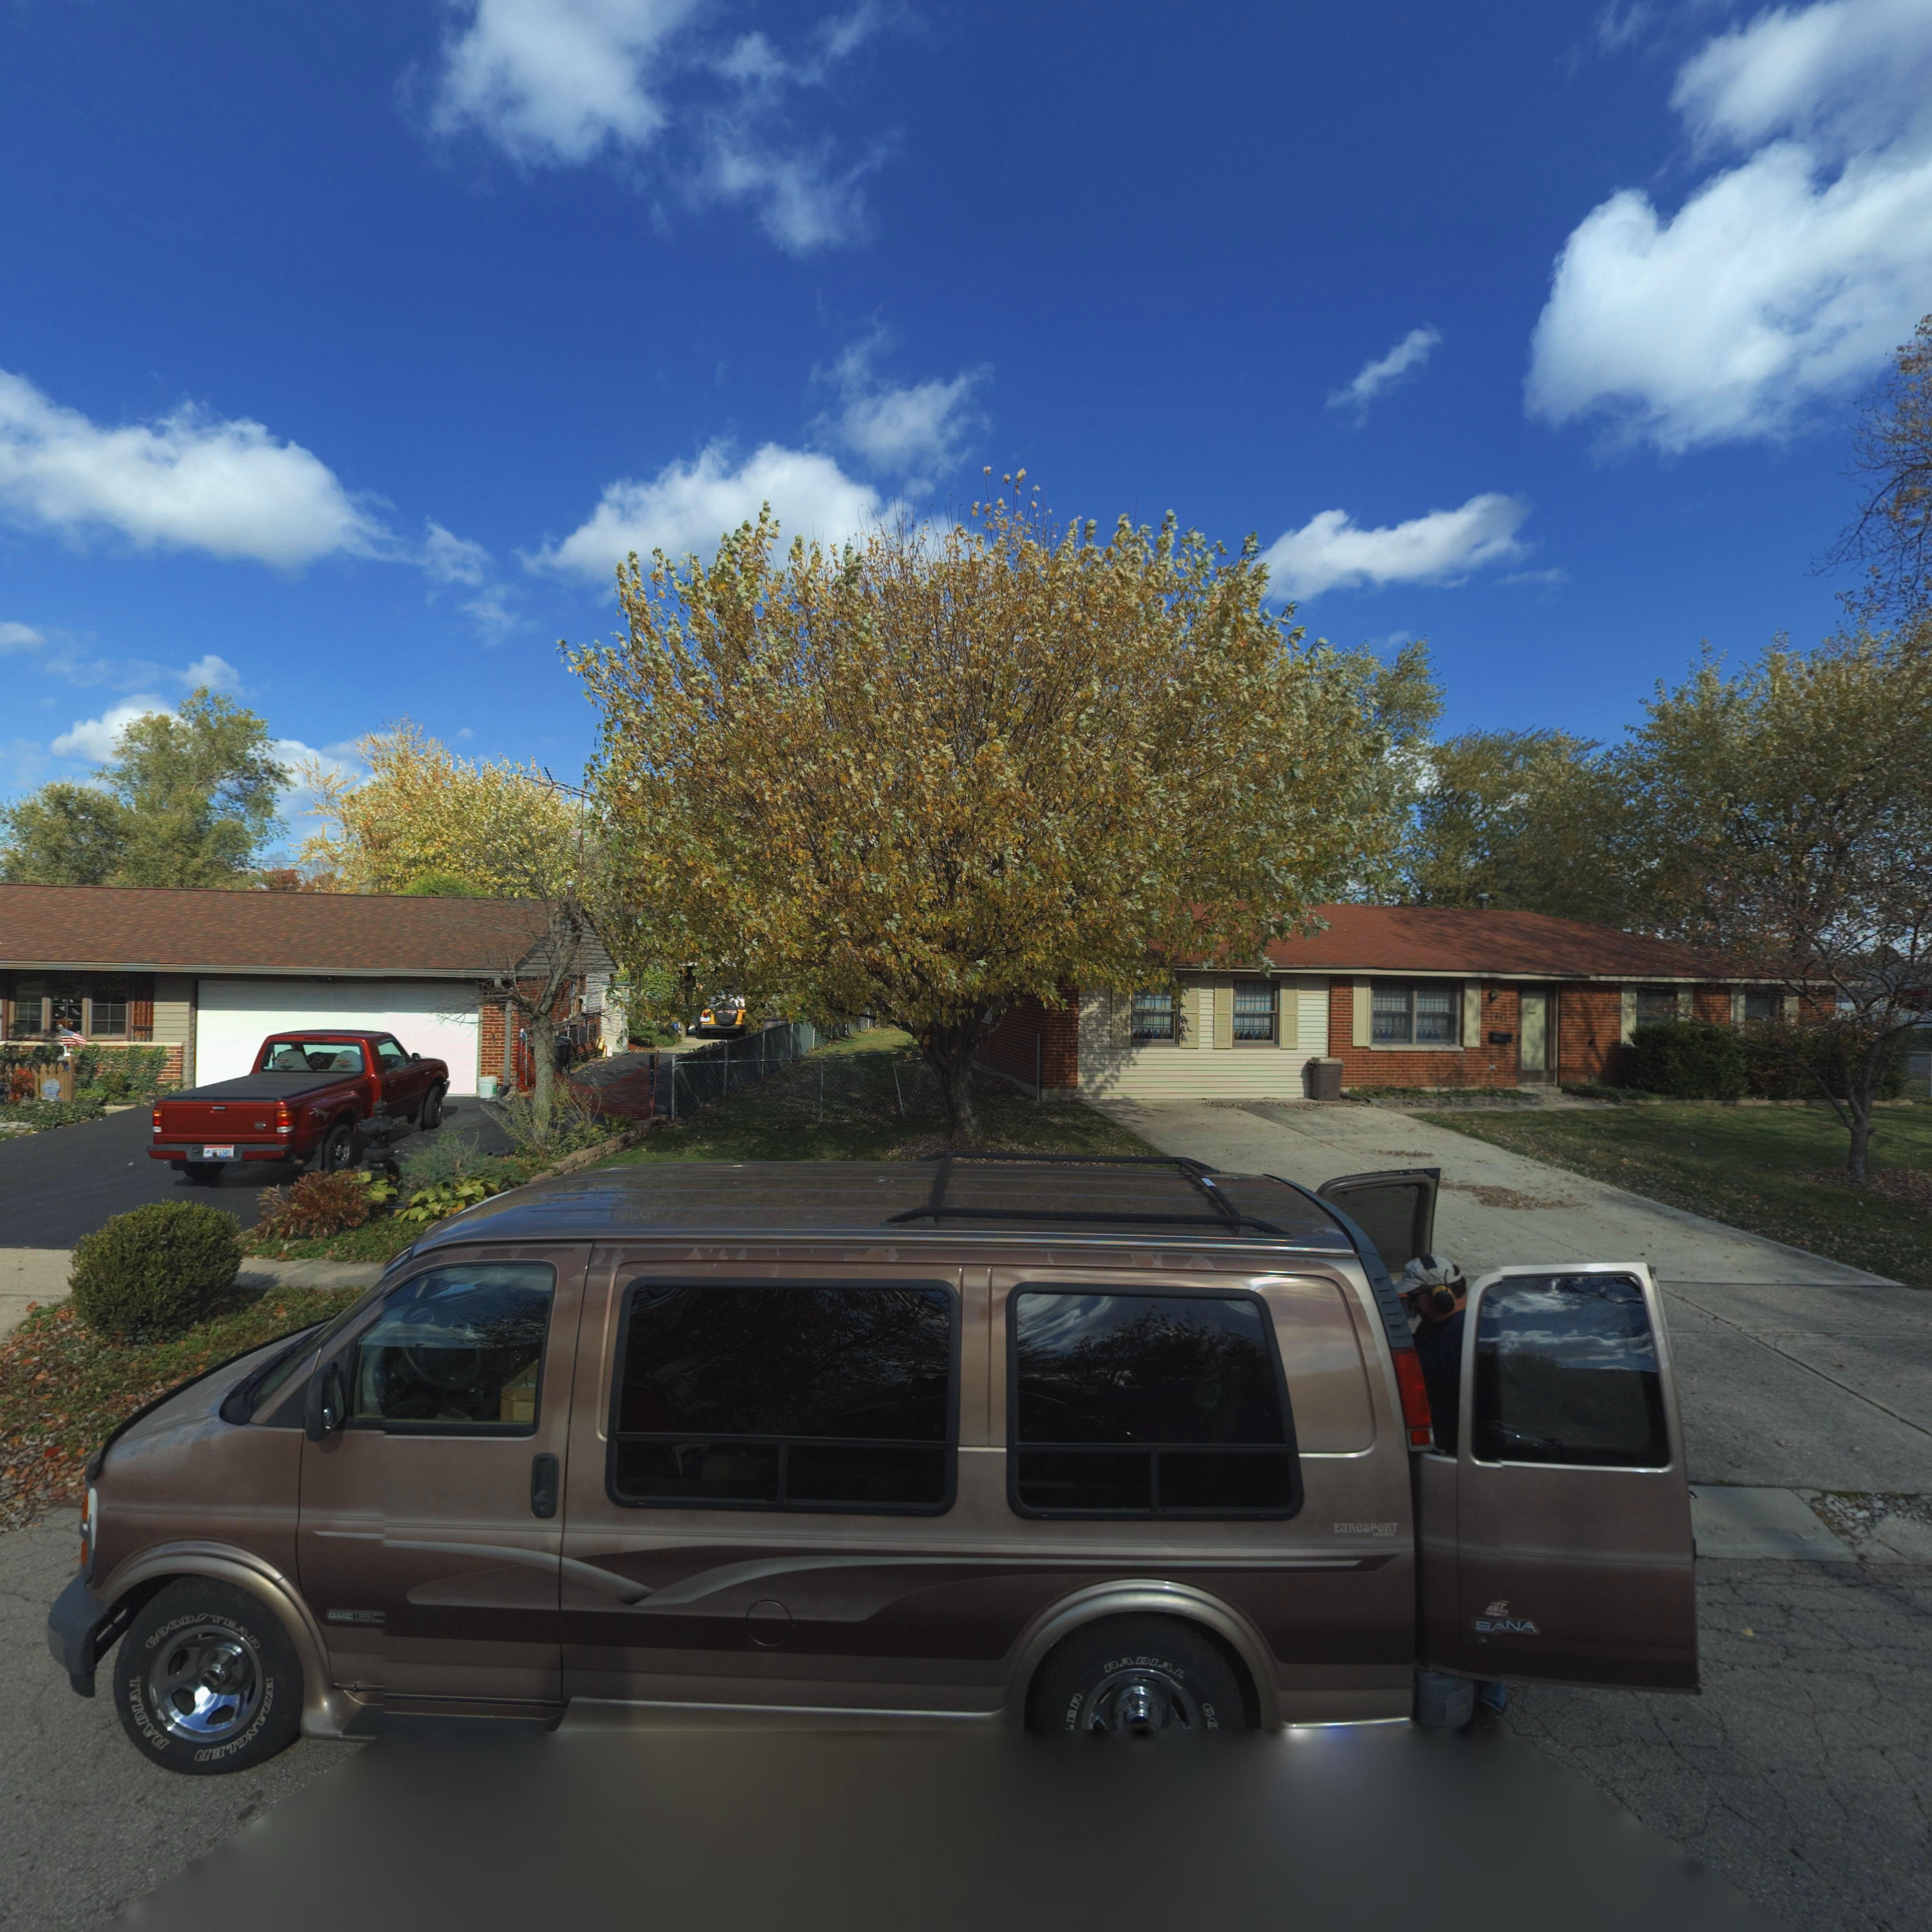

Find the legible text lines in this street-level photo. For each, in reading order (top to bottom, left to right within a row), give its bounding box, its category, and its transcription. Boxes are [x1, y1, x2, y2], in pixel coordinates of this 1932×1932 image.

[1488, 1011, 1507, 1023] StreetNumber: 7**1